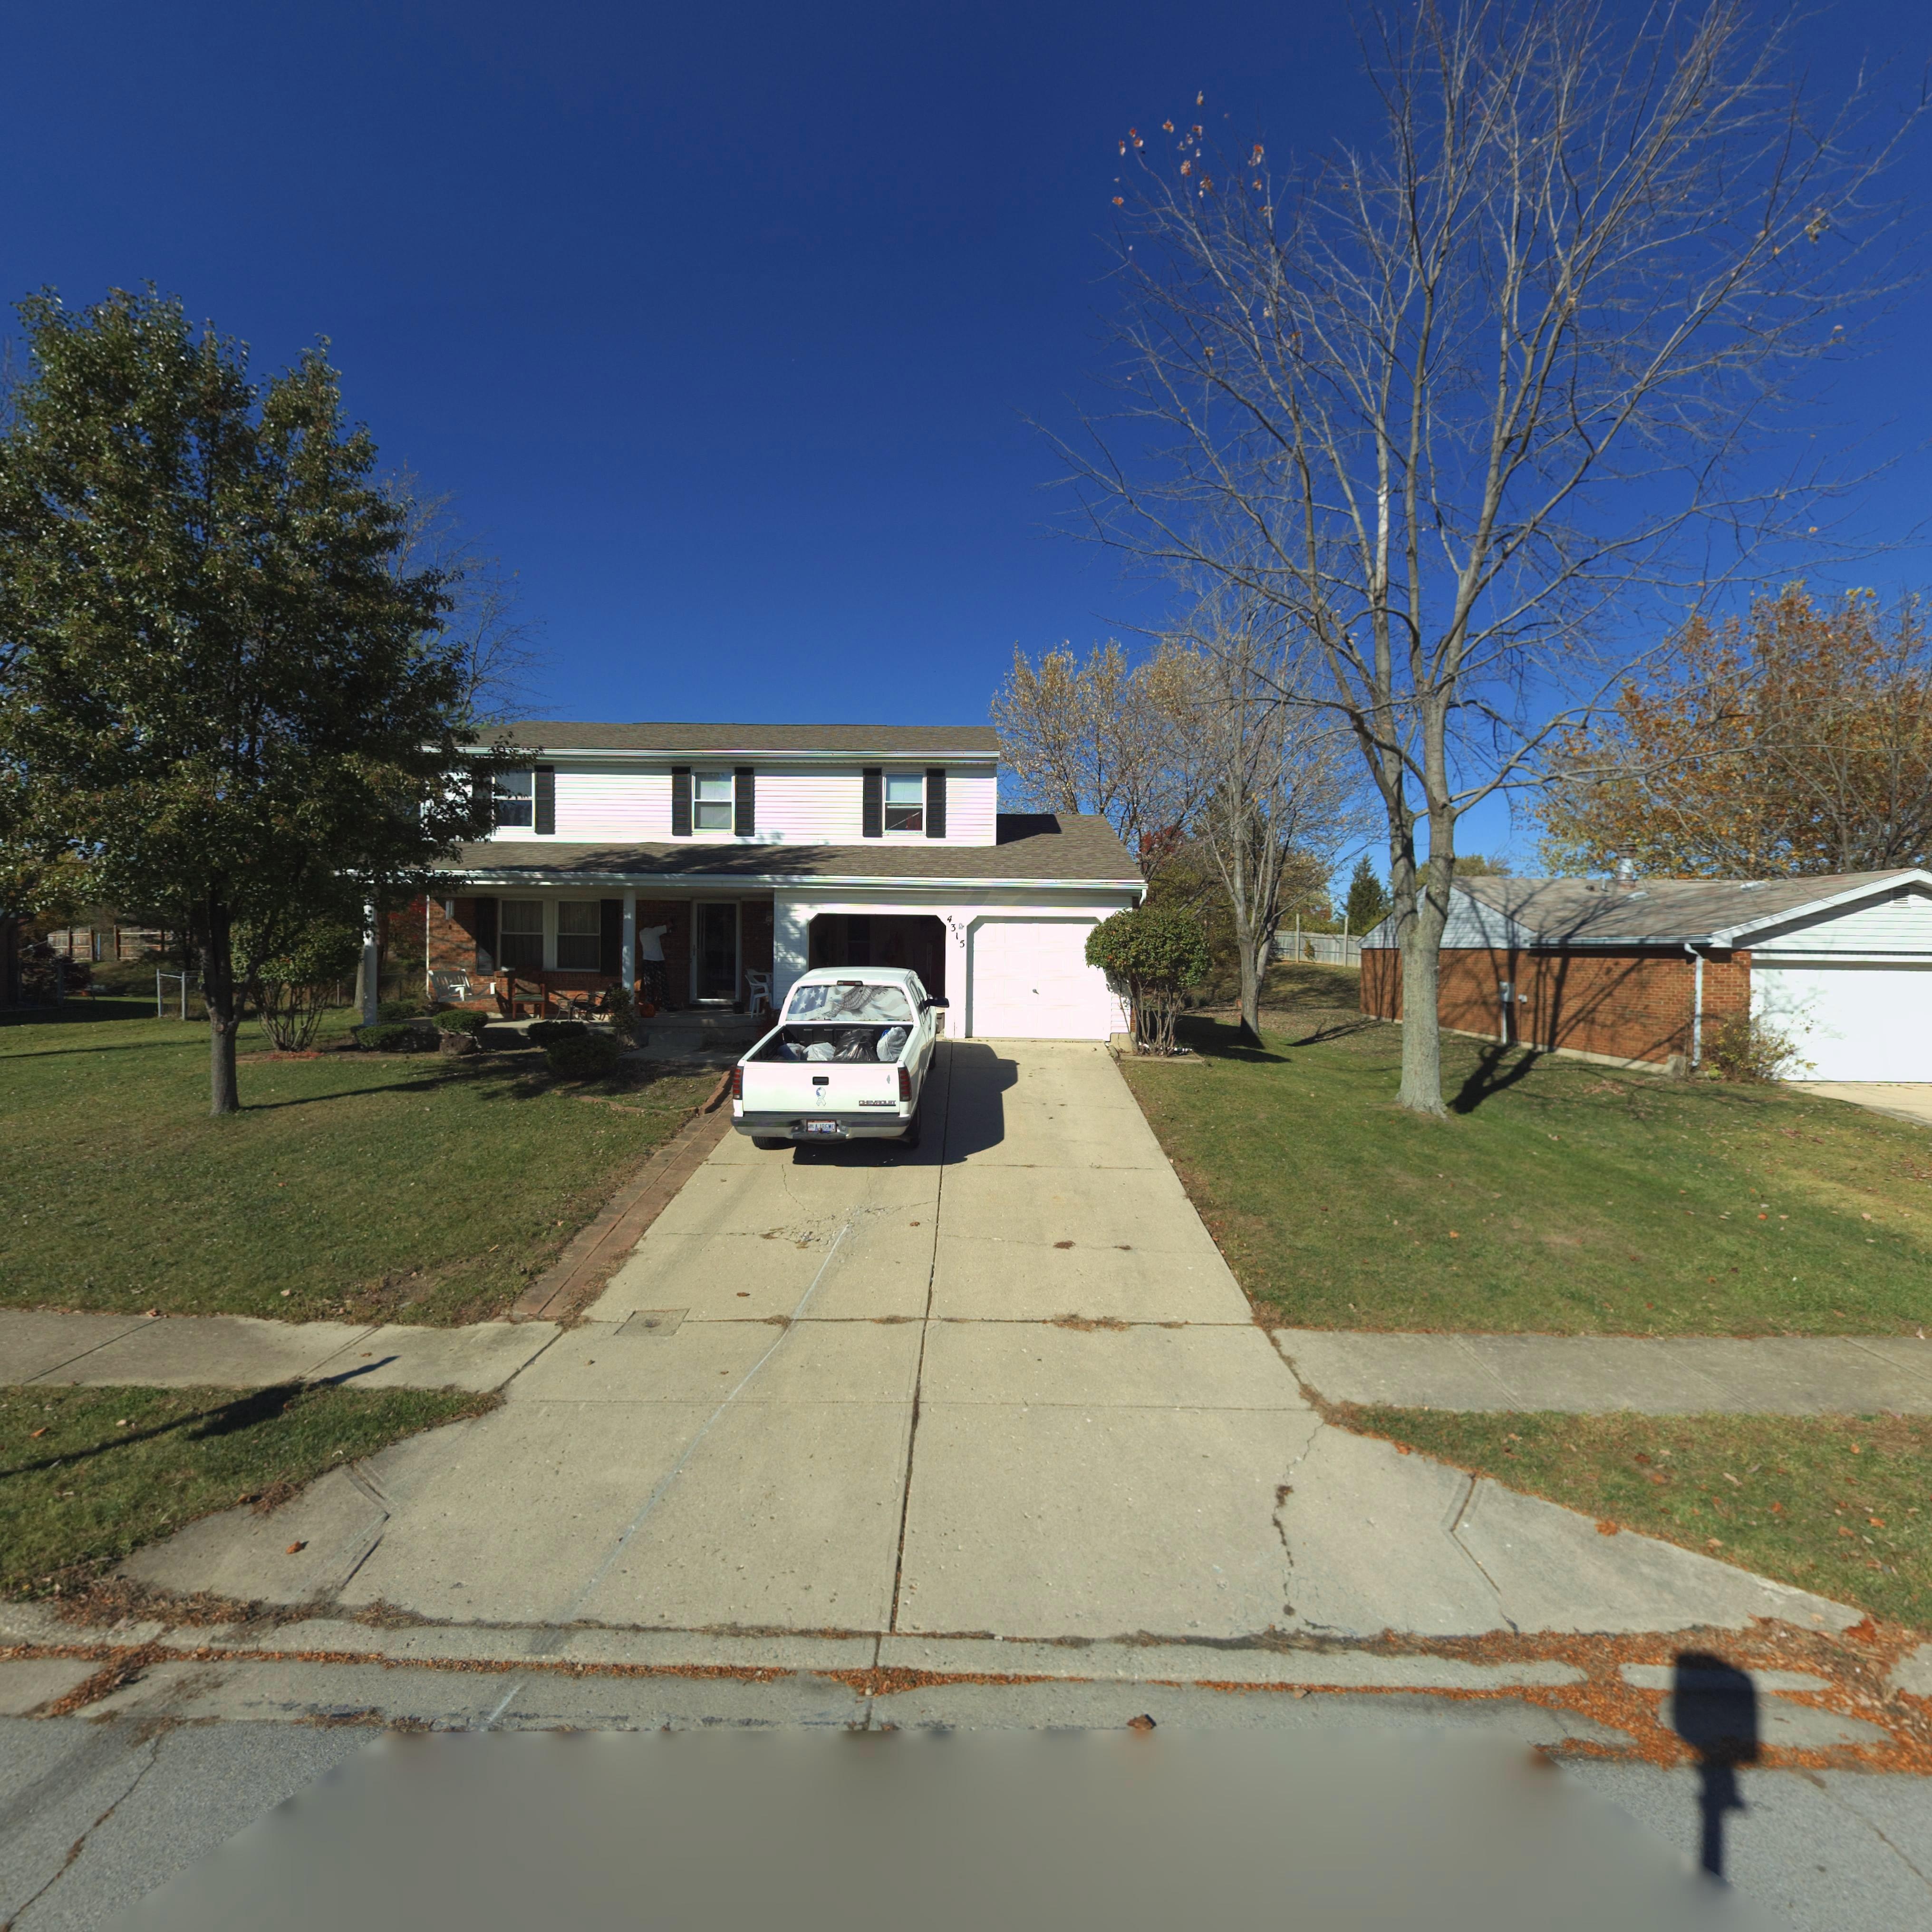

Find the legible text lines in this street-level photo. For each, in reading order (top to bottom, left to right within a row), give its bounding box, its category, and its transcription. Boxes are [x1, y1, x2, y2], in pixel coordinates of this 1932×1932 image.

[946, 915, 965, 948] StreetNumber: 4315